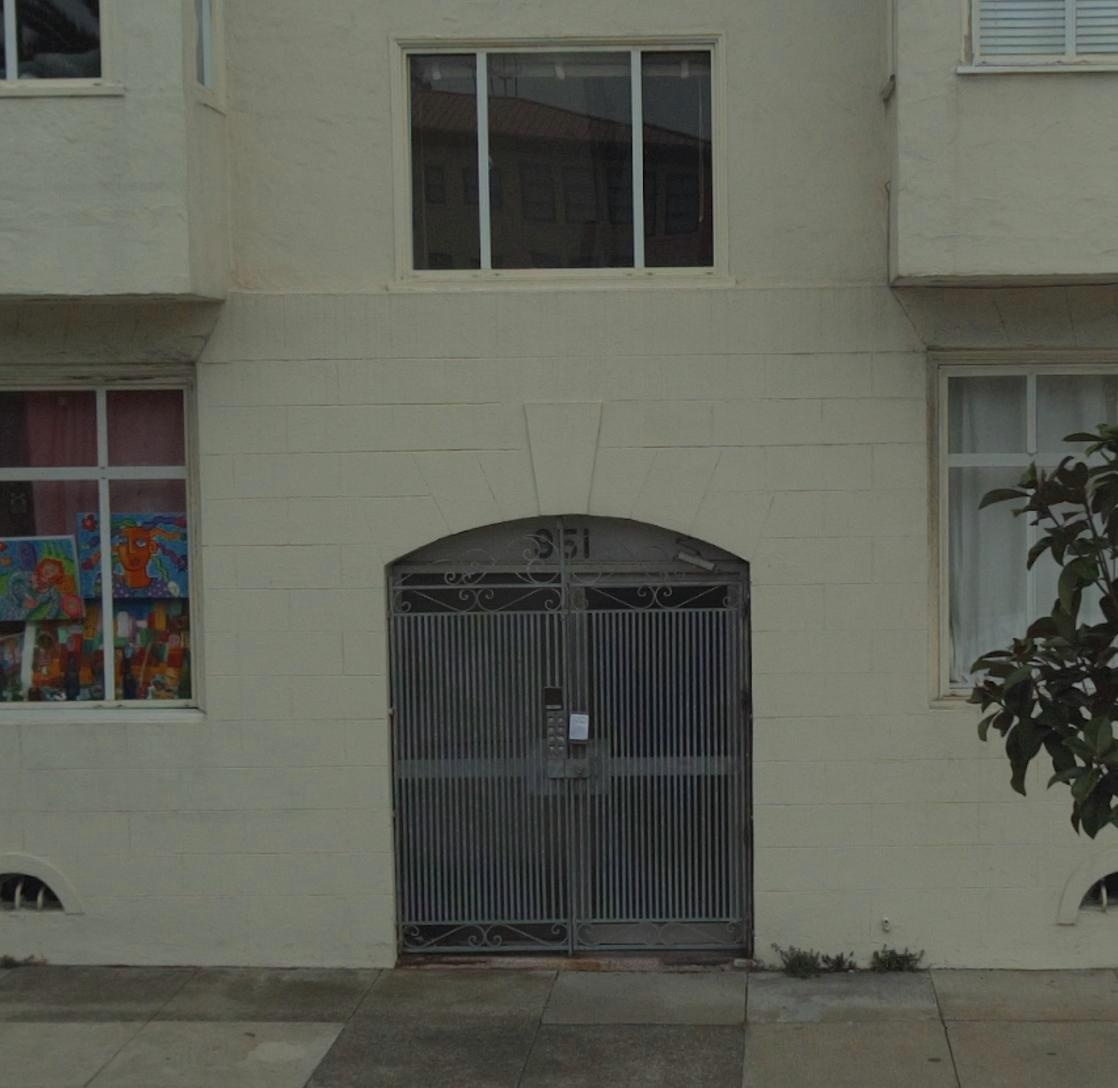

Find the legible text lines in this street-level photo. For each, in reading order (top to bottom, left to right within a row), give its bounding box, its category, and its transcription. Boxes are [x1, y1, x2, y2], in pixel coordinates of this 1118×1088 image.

[532, 526, 591, 559] StreetNumber: 9*1